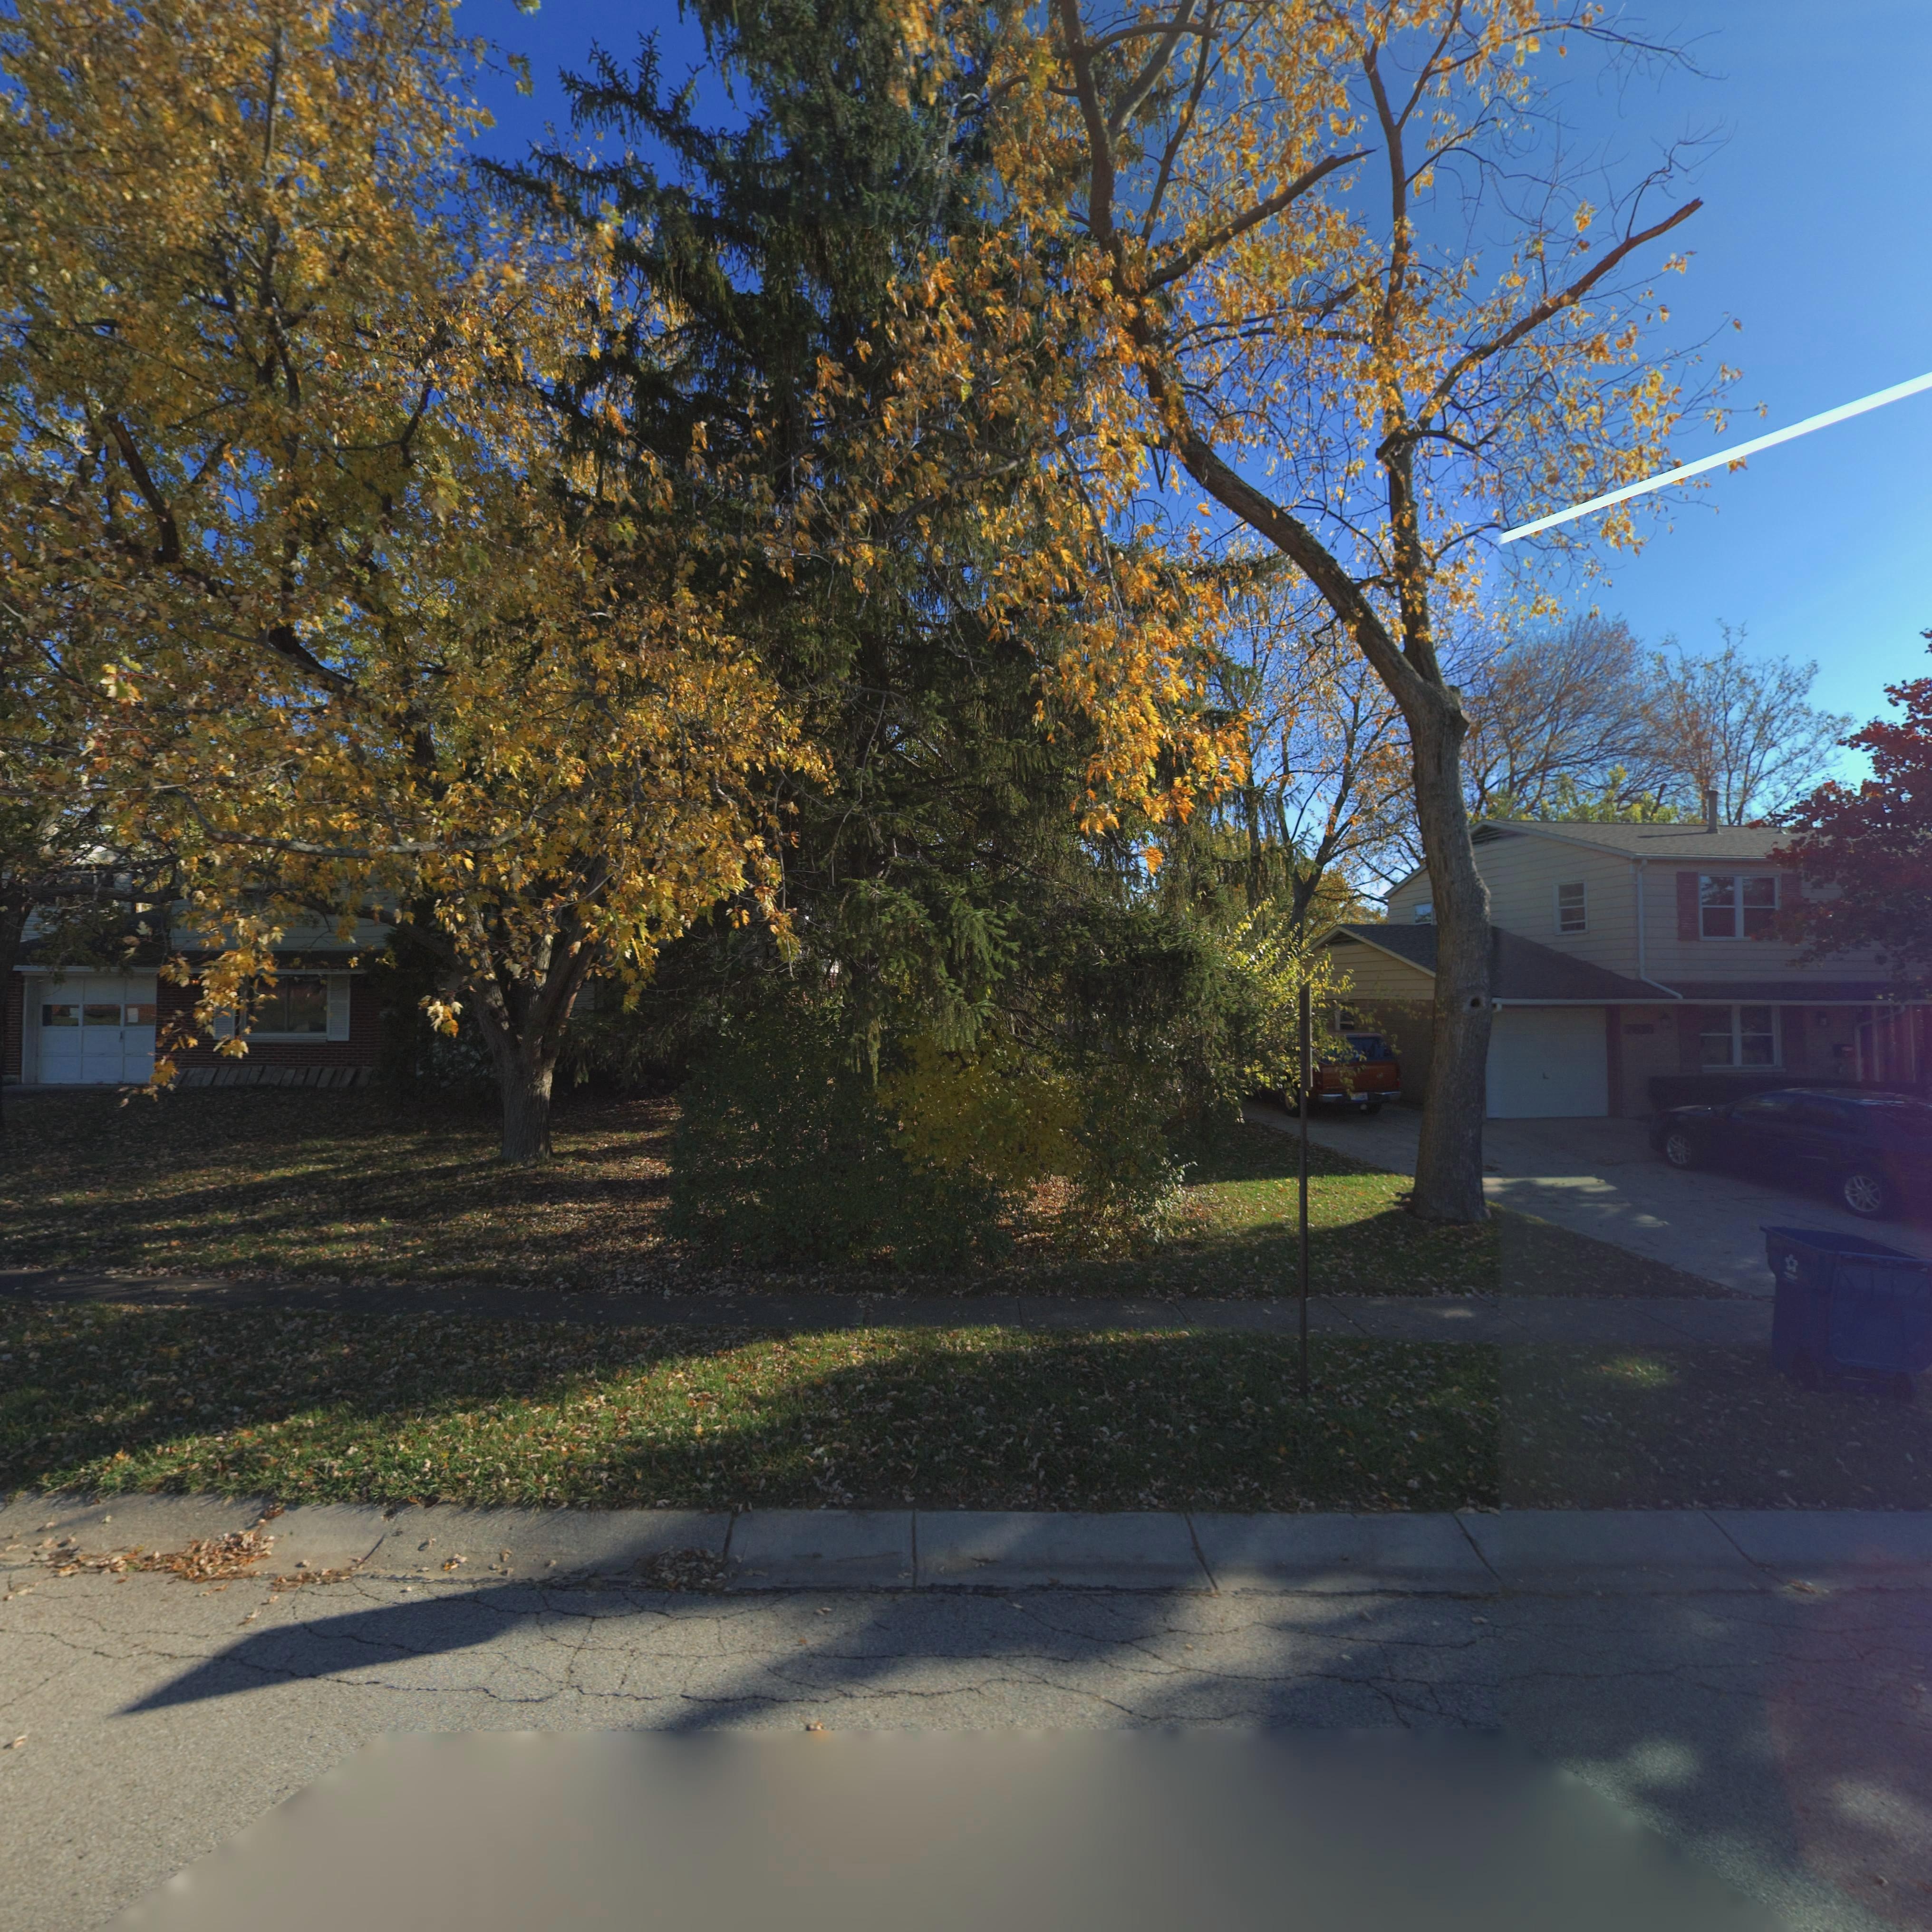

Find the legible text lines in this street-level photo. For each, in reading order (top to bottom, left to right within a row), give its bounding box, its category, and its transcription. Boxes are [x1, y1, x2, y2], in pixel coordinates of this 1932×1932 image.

[1623, 1023, 1655, 1035] StreetNumber: 76*6